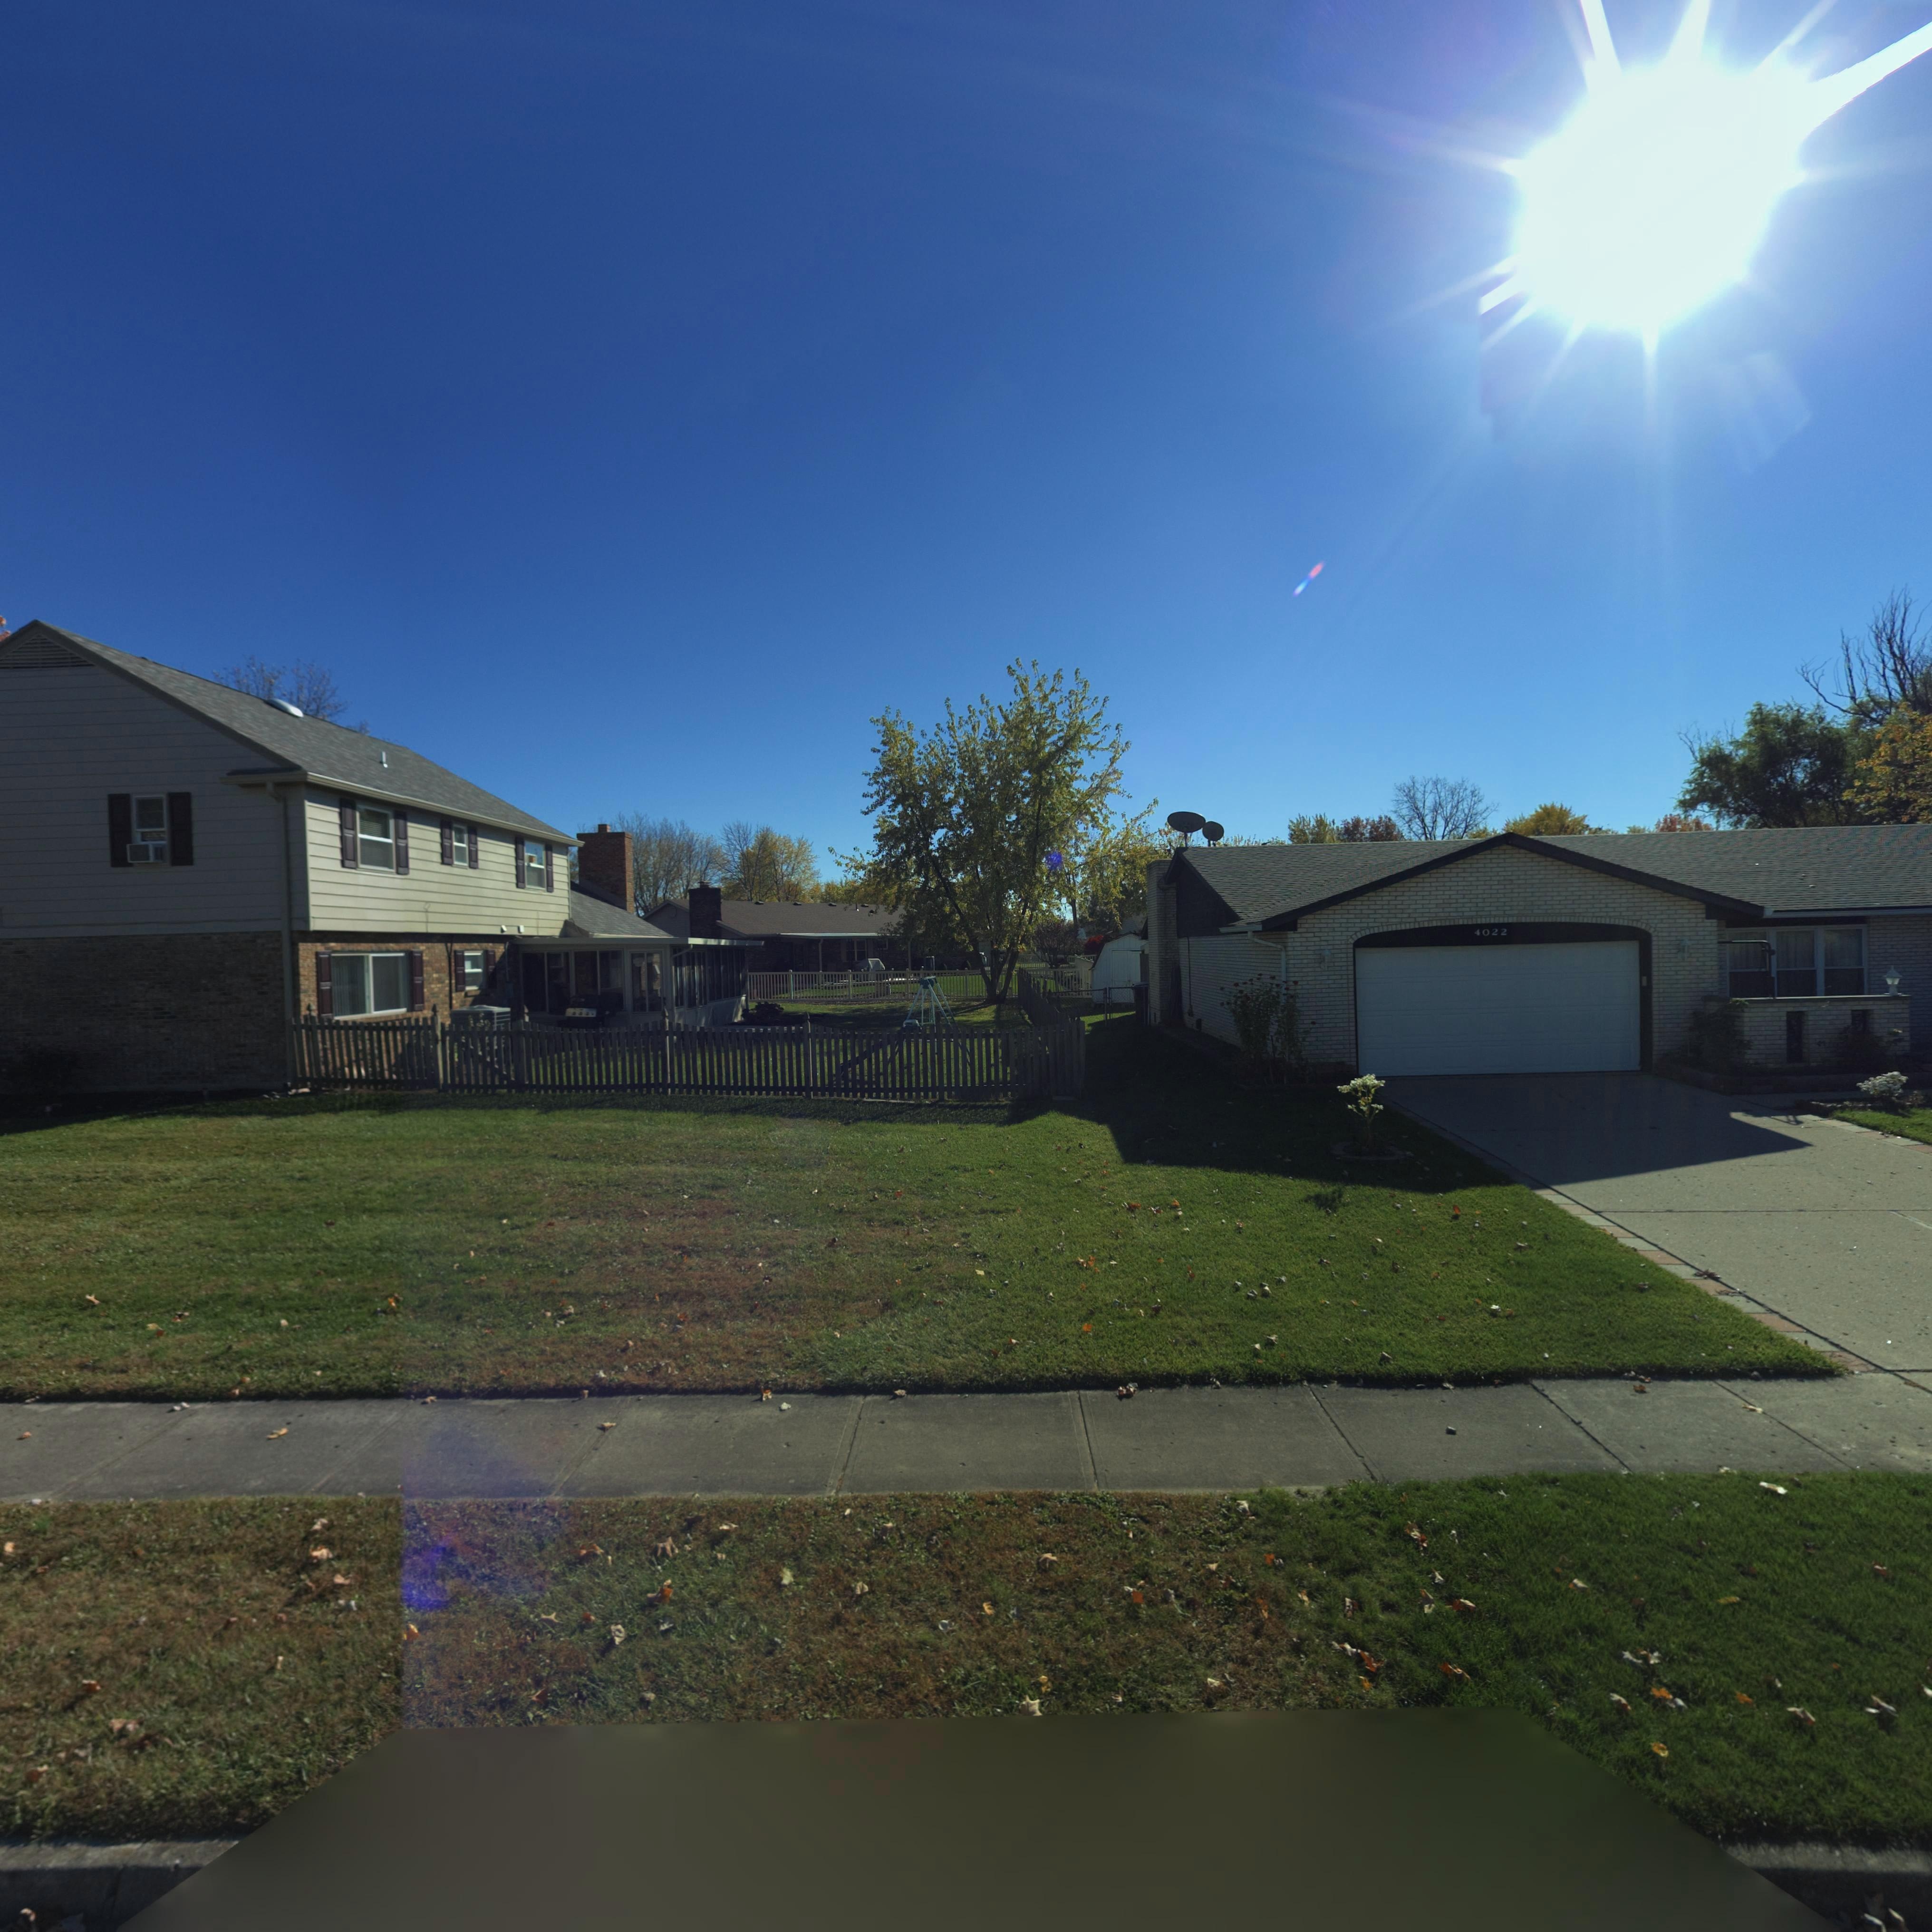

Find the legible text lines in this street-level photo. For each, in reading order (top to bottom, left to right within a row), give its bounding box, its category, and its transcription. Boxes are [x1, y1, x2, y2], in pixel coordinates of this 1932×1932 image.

[1474, 928, 1507, 936] StreetNumber: 4022